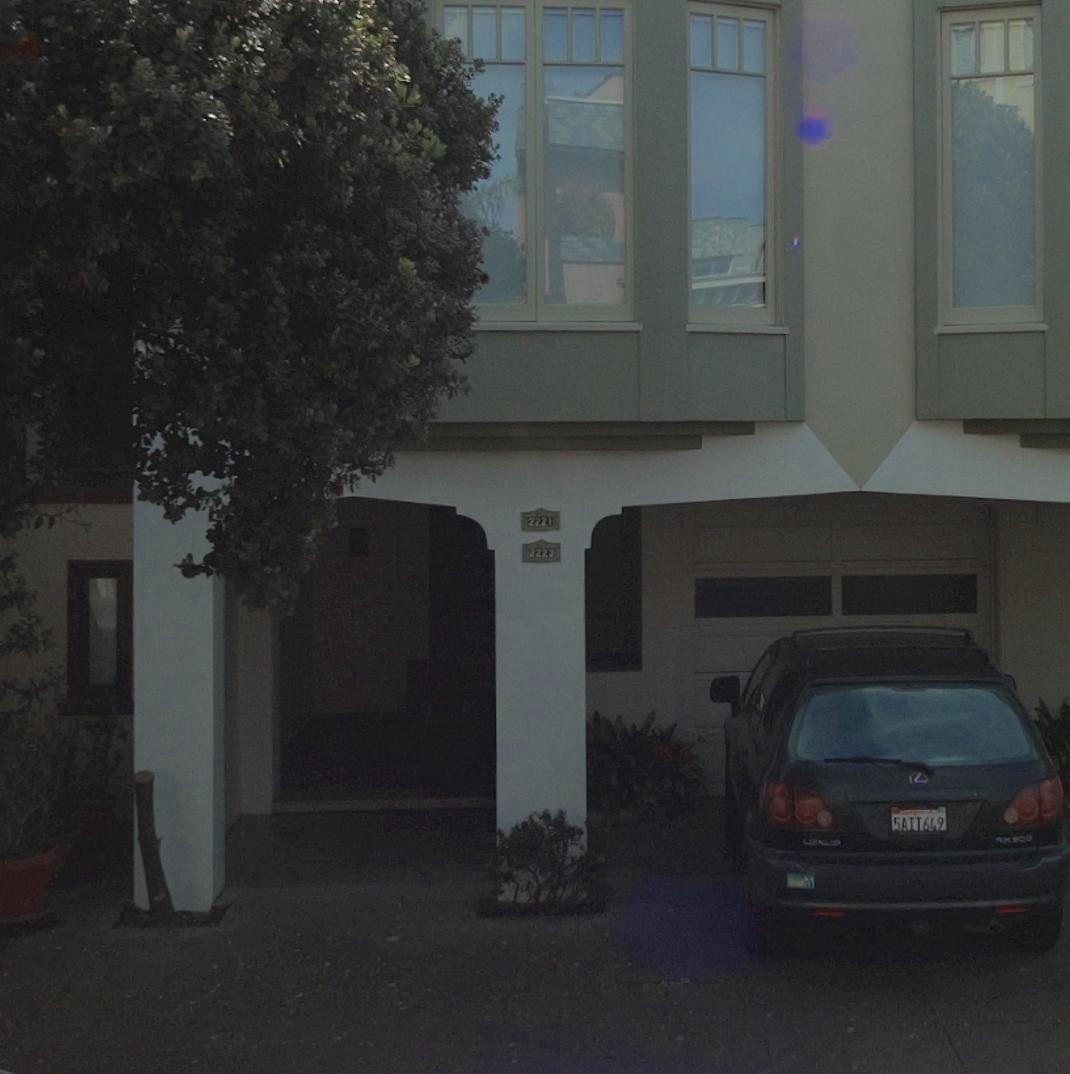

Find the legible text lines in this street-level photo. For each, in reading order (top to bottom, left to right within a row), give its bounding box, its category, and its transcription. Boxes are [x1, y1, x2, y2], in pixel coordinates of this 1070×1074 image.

[527, 515, 553, 528] StreetNumber: 2221
[528, 547, 555, 559] StreetNumber: 2223
[892, 814, 945, 833] None: 5AIT649